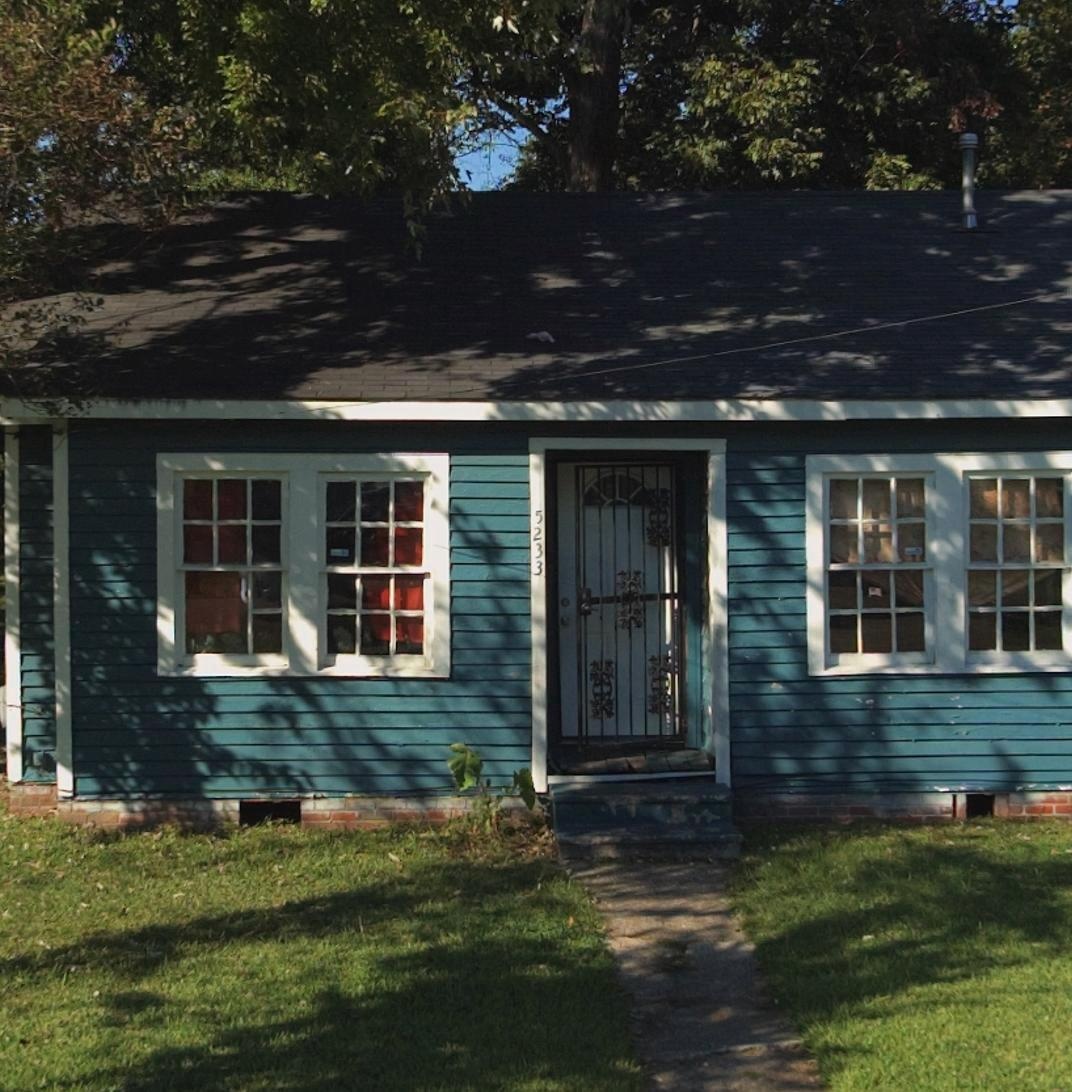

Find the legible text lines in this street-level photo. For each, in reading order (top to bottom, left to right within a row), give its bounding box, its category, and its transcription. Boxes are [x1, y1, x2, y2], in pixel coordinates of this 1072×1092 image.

[533, 509, 544, 577] StreetNumber: 5233